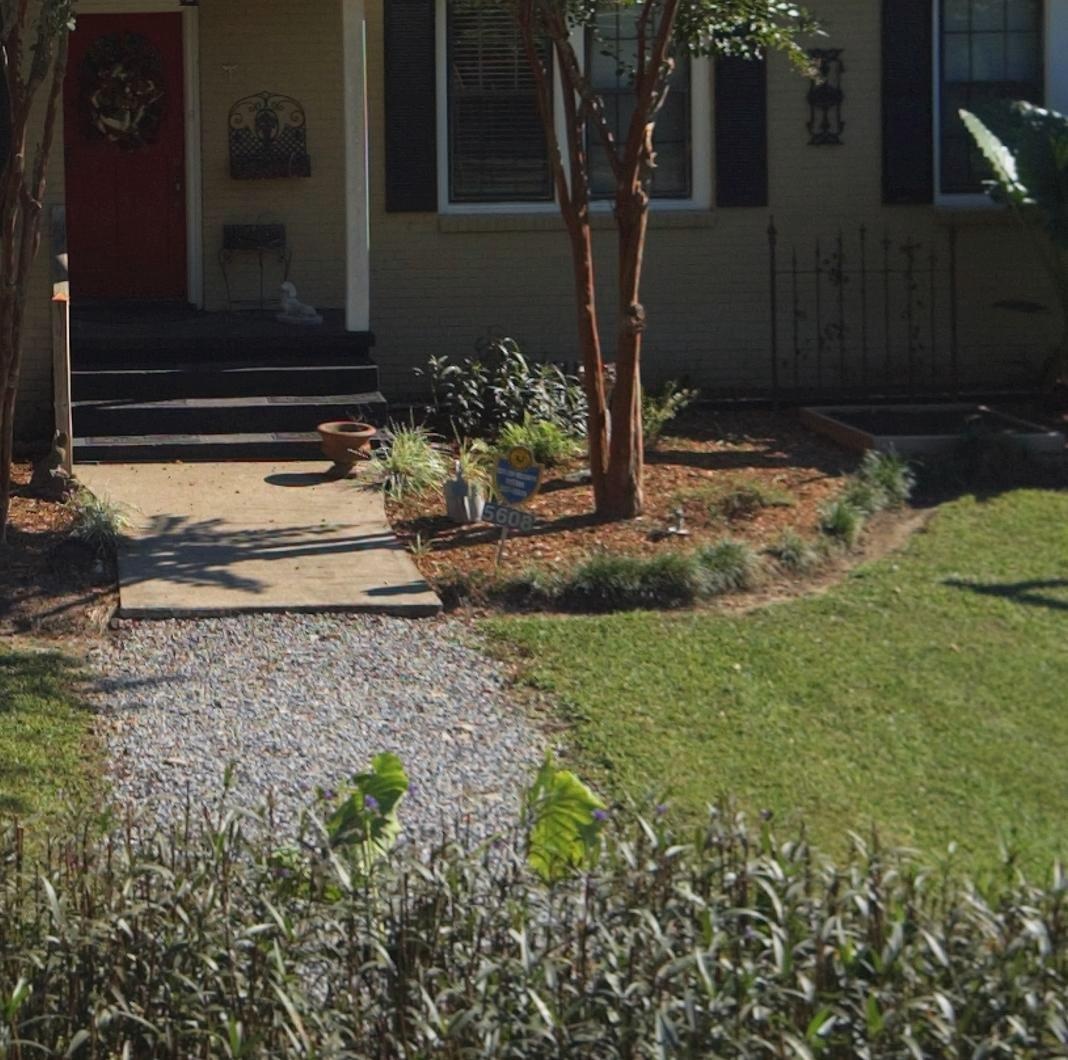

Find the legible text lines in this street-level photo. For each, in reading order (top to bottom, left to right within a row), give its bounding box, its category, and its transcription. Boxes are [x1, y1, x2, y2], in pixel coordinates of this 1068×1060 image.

[481, 501, 534, 533] StreetNumber: 5608